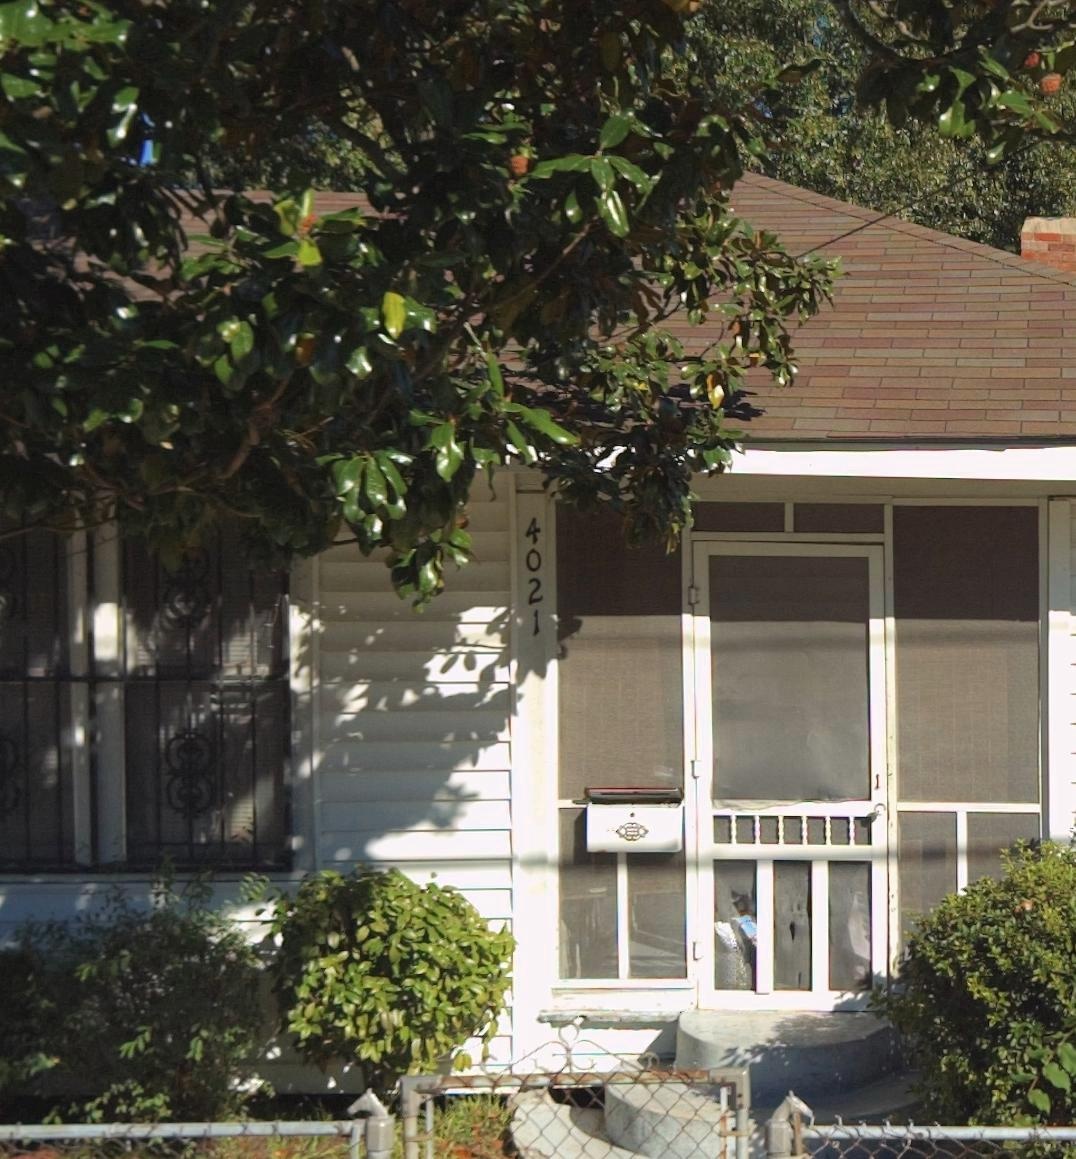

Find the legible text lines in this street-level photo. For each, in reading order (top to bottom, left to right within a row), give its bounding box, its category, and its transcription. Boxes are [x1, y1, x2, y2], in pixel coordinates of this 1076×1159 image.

[523, 512, 545, 639] StreetNumber: 4021